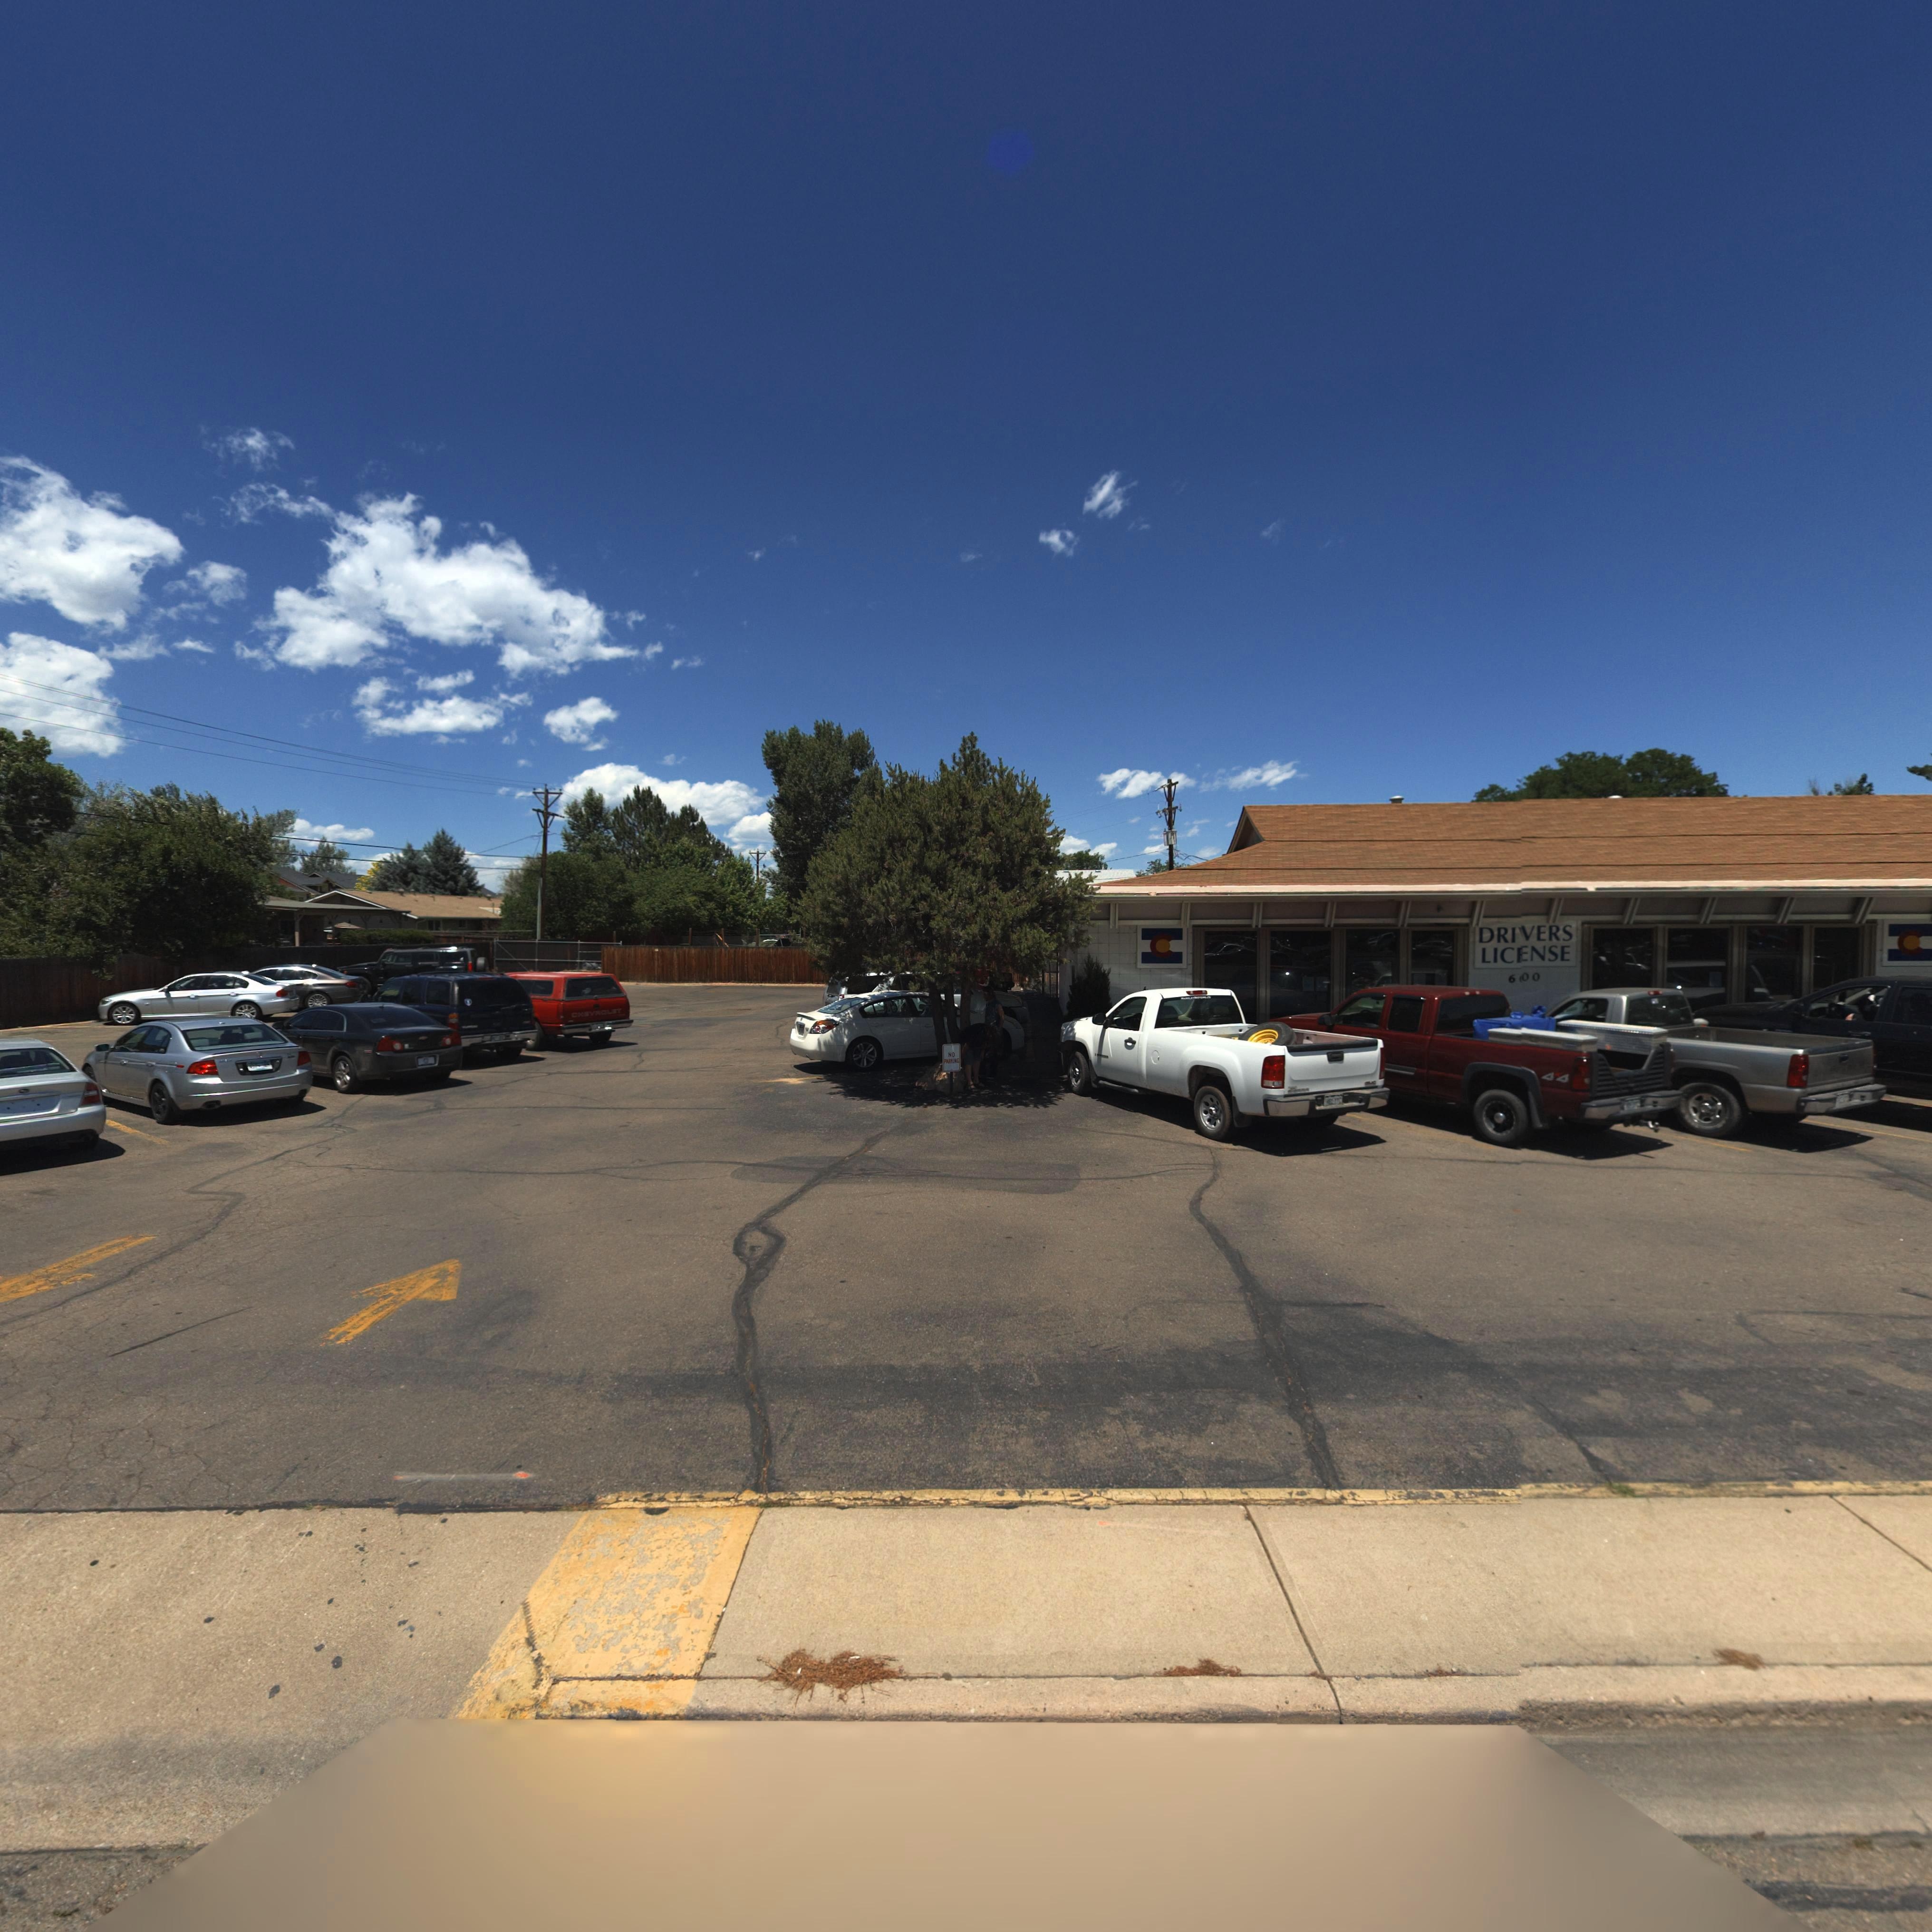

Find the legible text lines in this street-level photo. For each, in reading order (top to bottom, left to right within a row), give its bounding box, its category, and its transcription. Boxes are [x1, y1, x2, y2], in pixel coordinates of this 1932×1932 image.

[1506, 970, 1540, 985] StreetNumber: 600